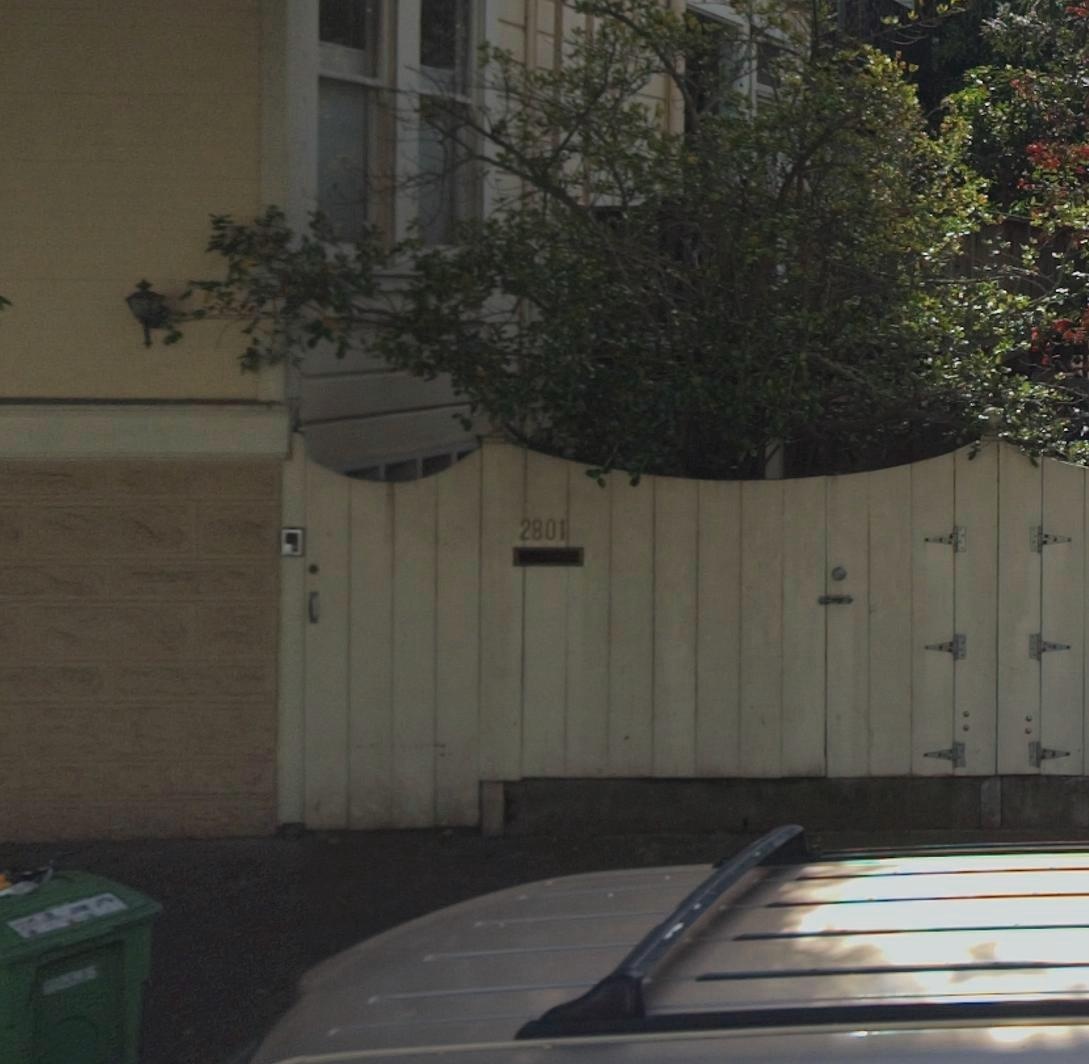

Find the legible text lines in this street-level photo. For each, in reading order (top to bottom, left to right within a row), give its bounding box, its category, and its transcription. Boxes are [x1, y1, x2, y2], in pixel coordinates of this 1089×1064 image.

[517, 515, 567, 544] StreetNumber: 2801